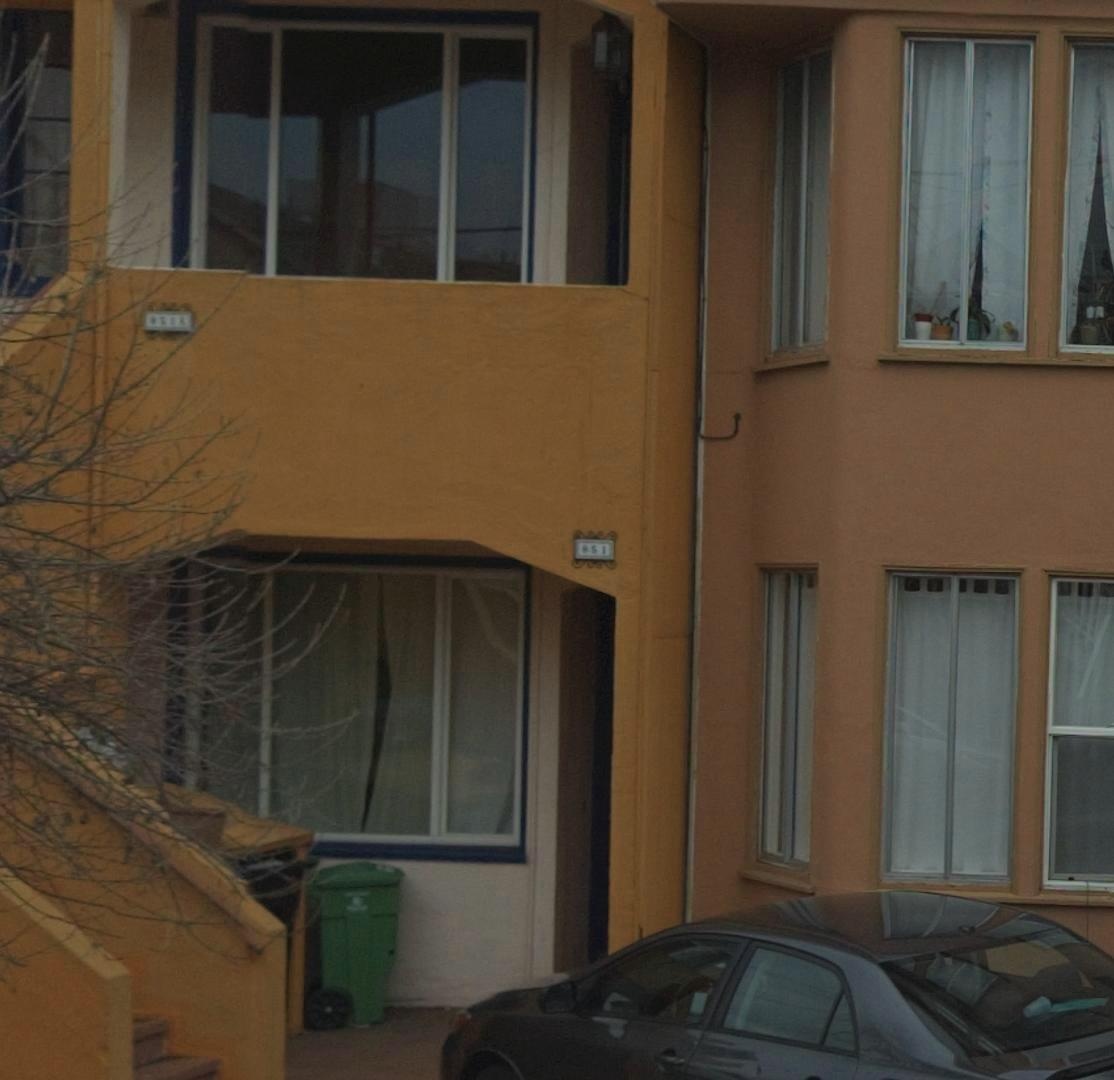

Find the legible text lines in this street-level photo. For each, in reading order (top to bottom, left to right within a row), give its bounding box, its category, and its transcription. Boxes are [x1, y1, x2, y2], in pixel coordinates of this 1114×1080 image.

[147, 315, 187, 326] StreetNumber: 851A
[580, 544, 608, 556] StreetNumber: 851